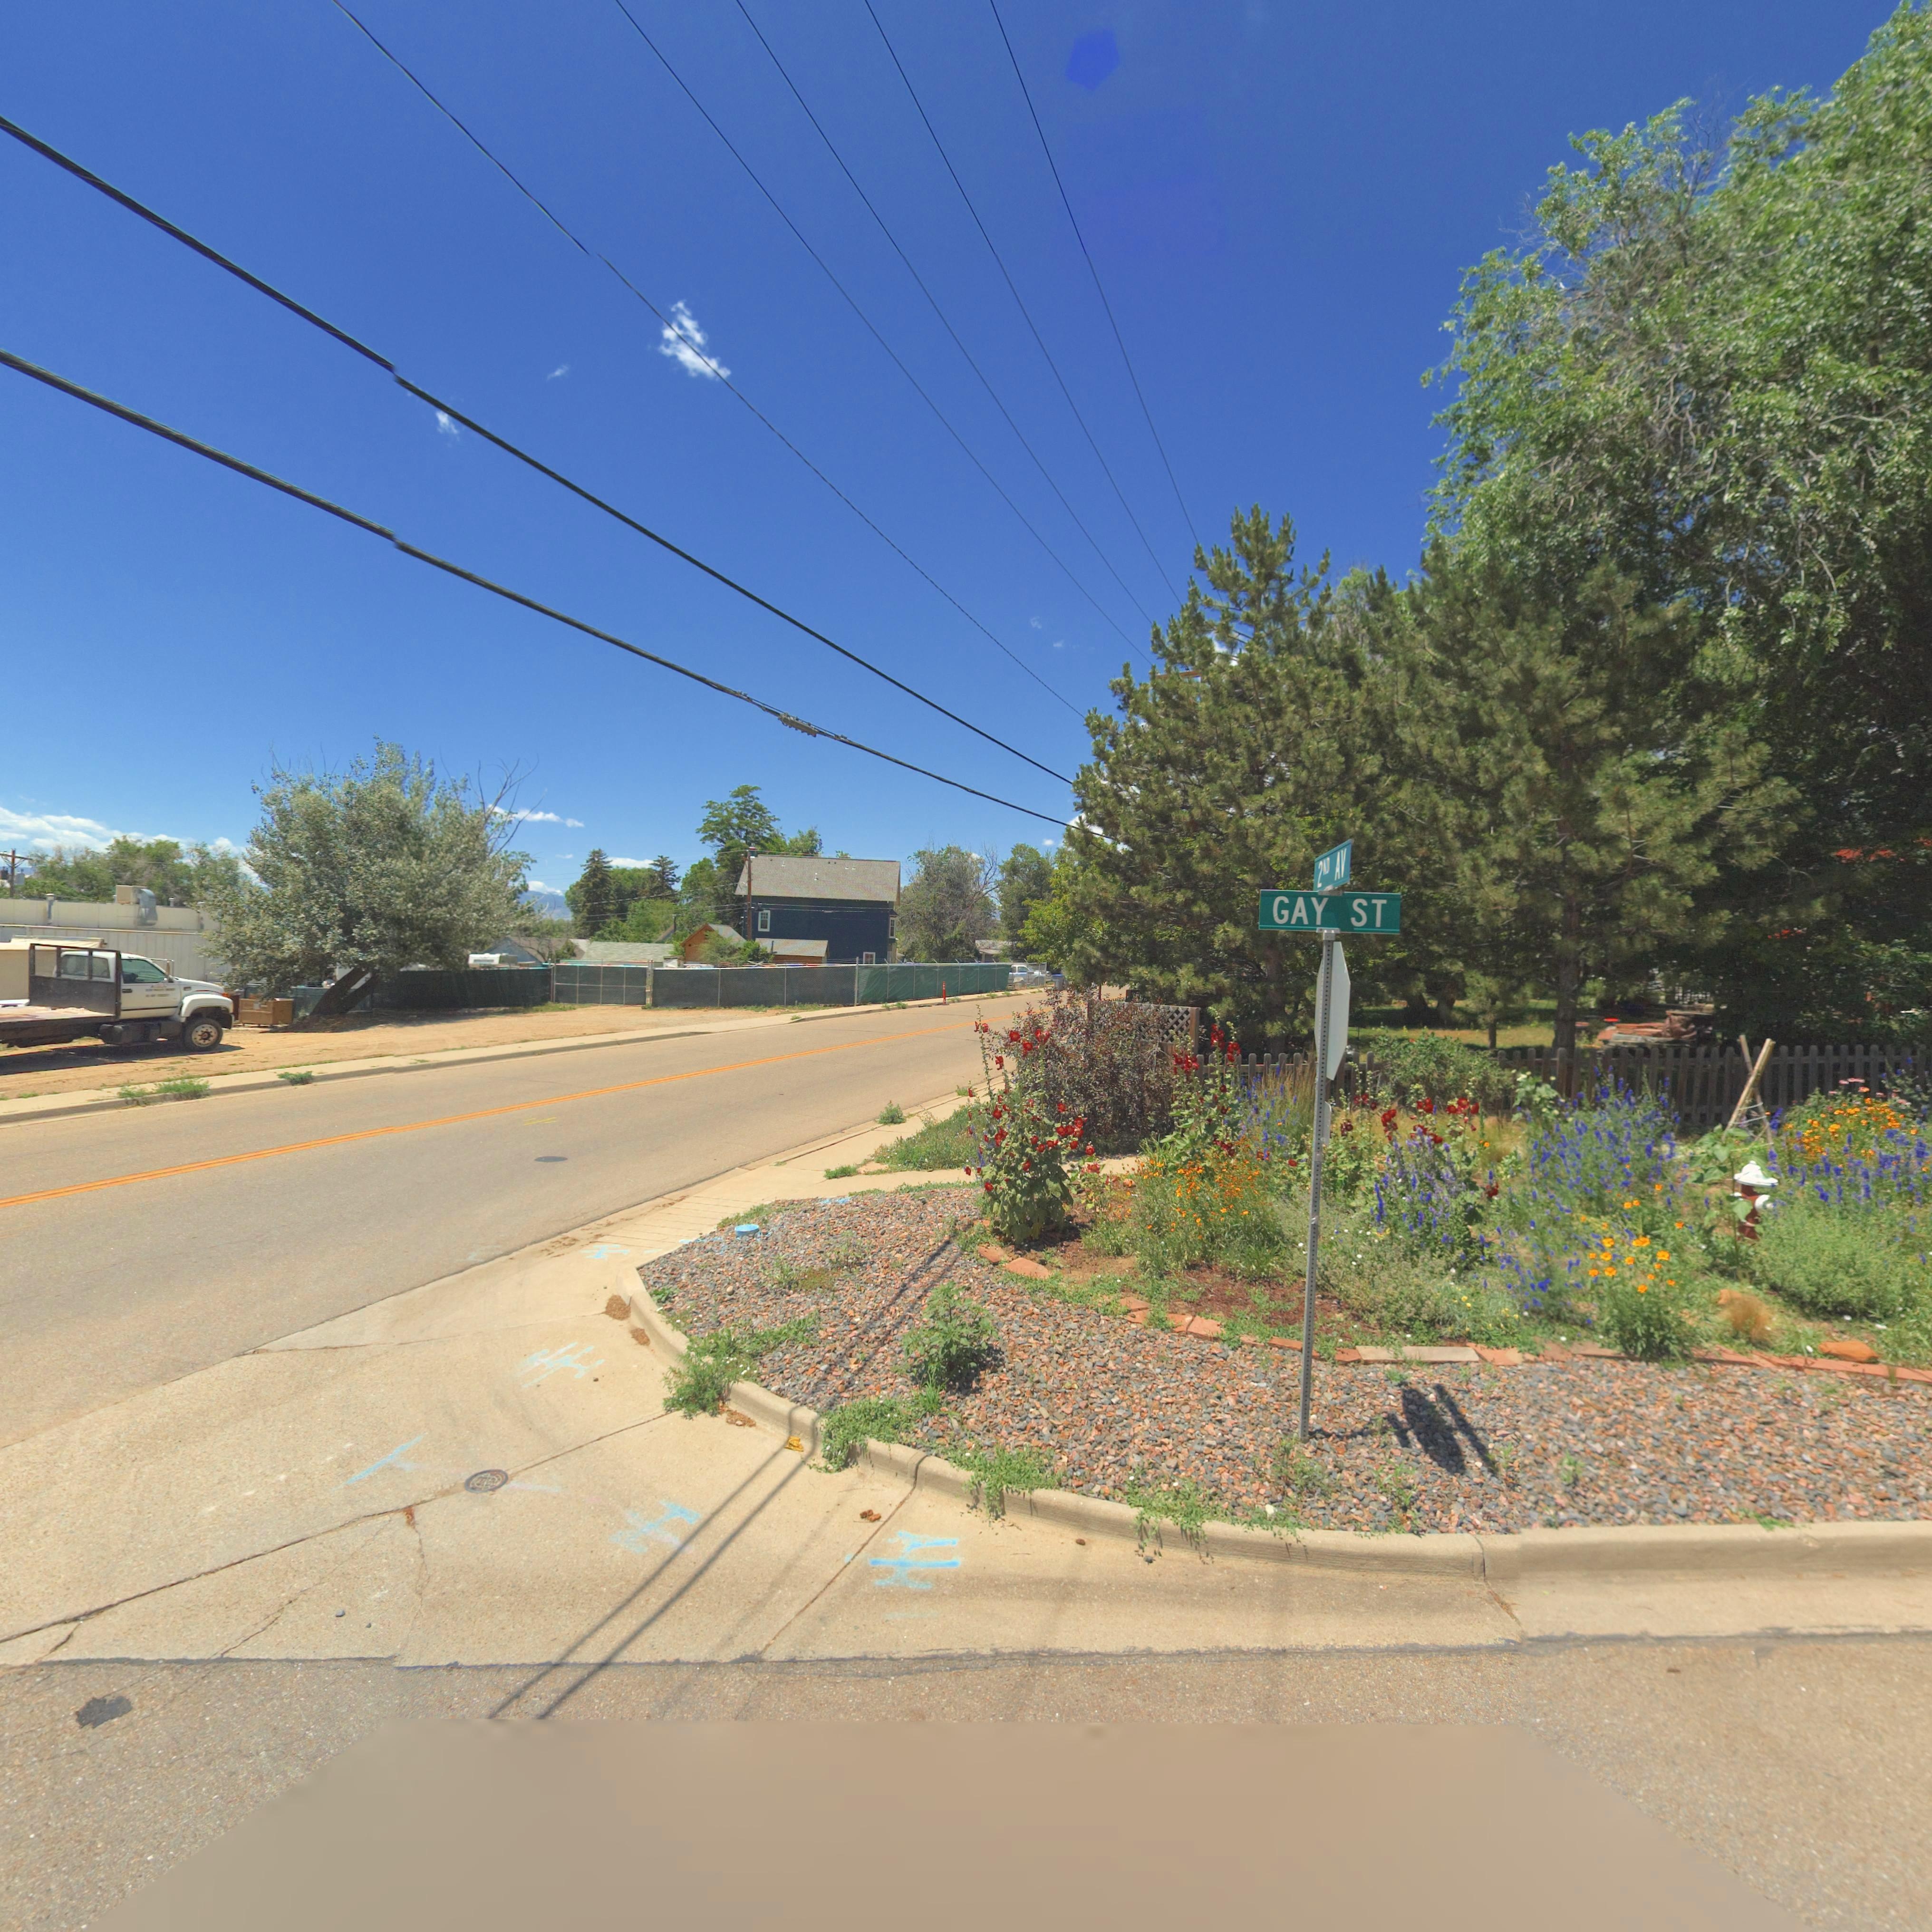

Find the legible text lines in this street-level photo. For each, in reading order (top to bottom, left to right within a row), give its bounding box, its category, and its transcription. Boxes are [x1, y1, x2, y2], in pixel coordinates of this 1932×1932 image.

[1316, 846, 1347, 889] StreetName: 2ND AV
[1271, 895, 1387, 928] StreetName: GAY ST